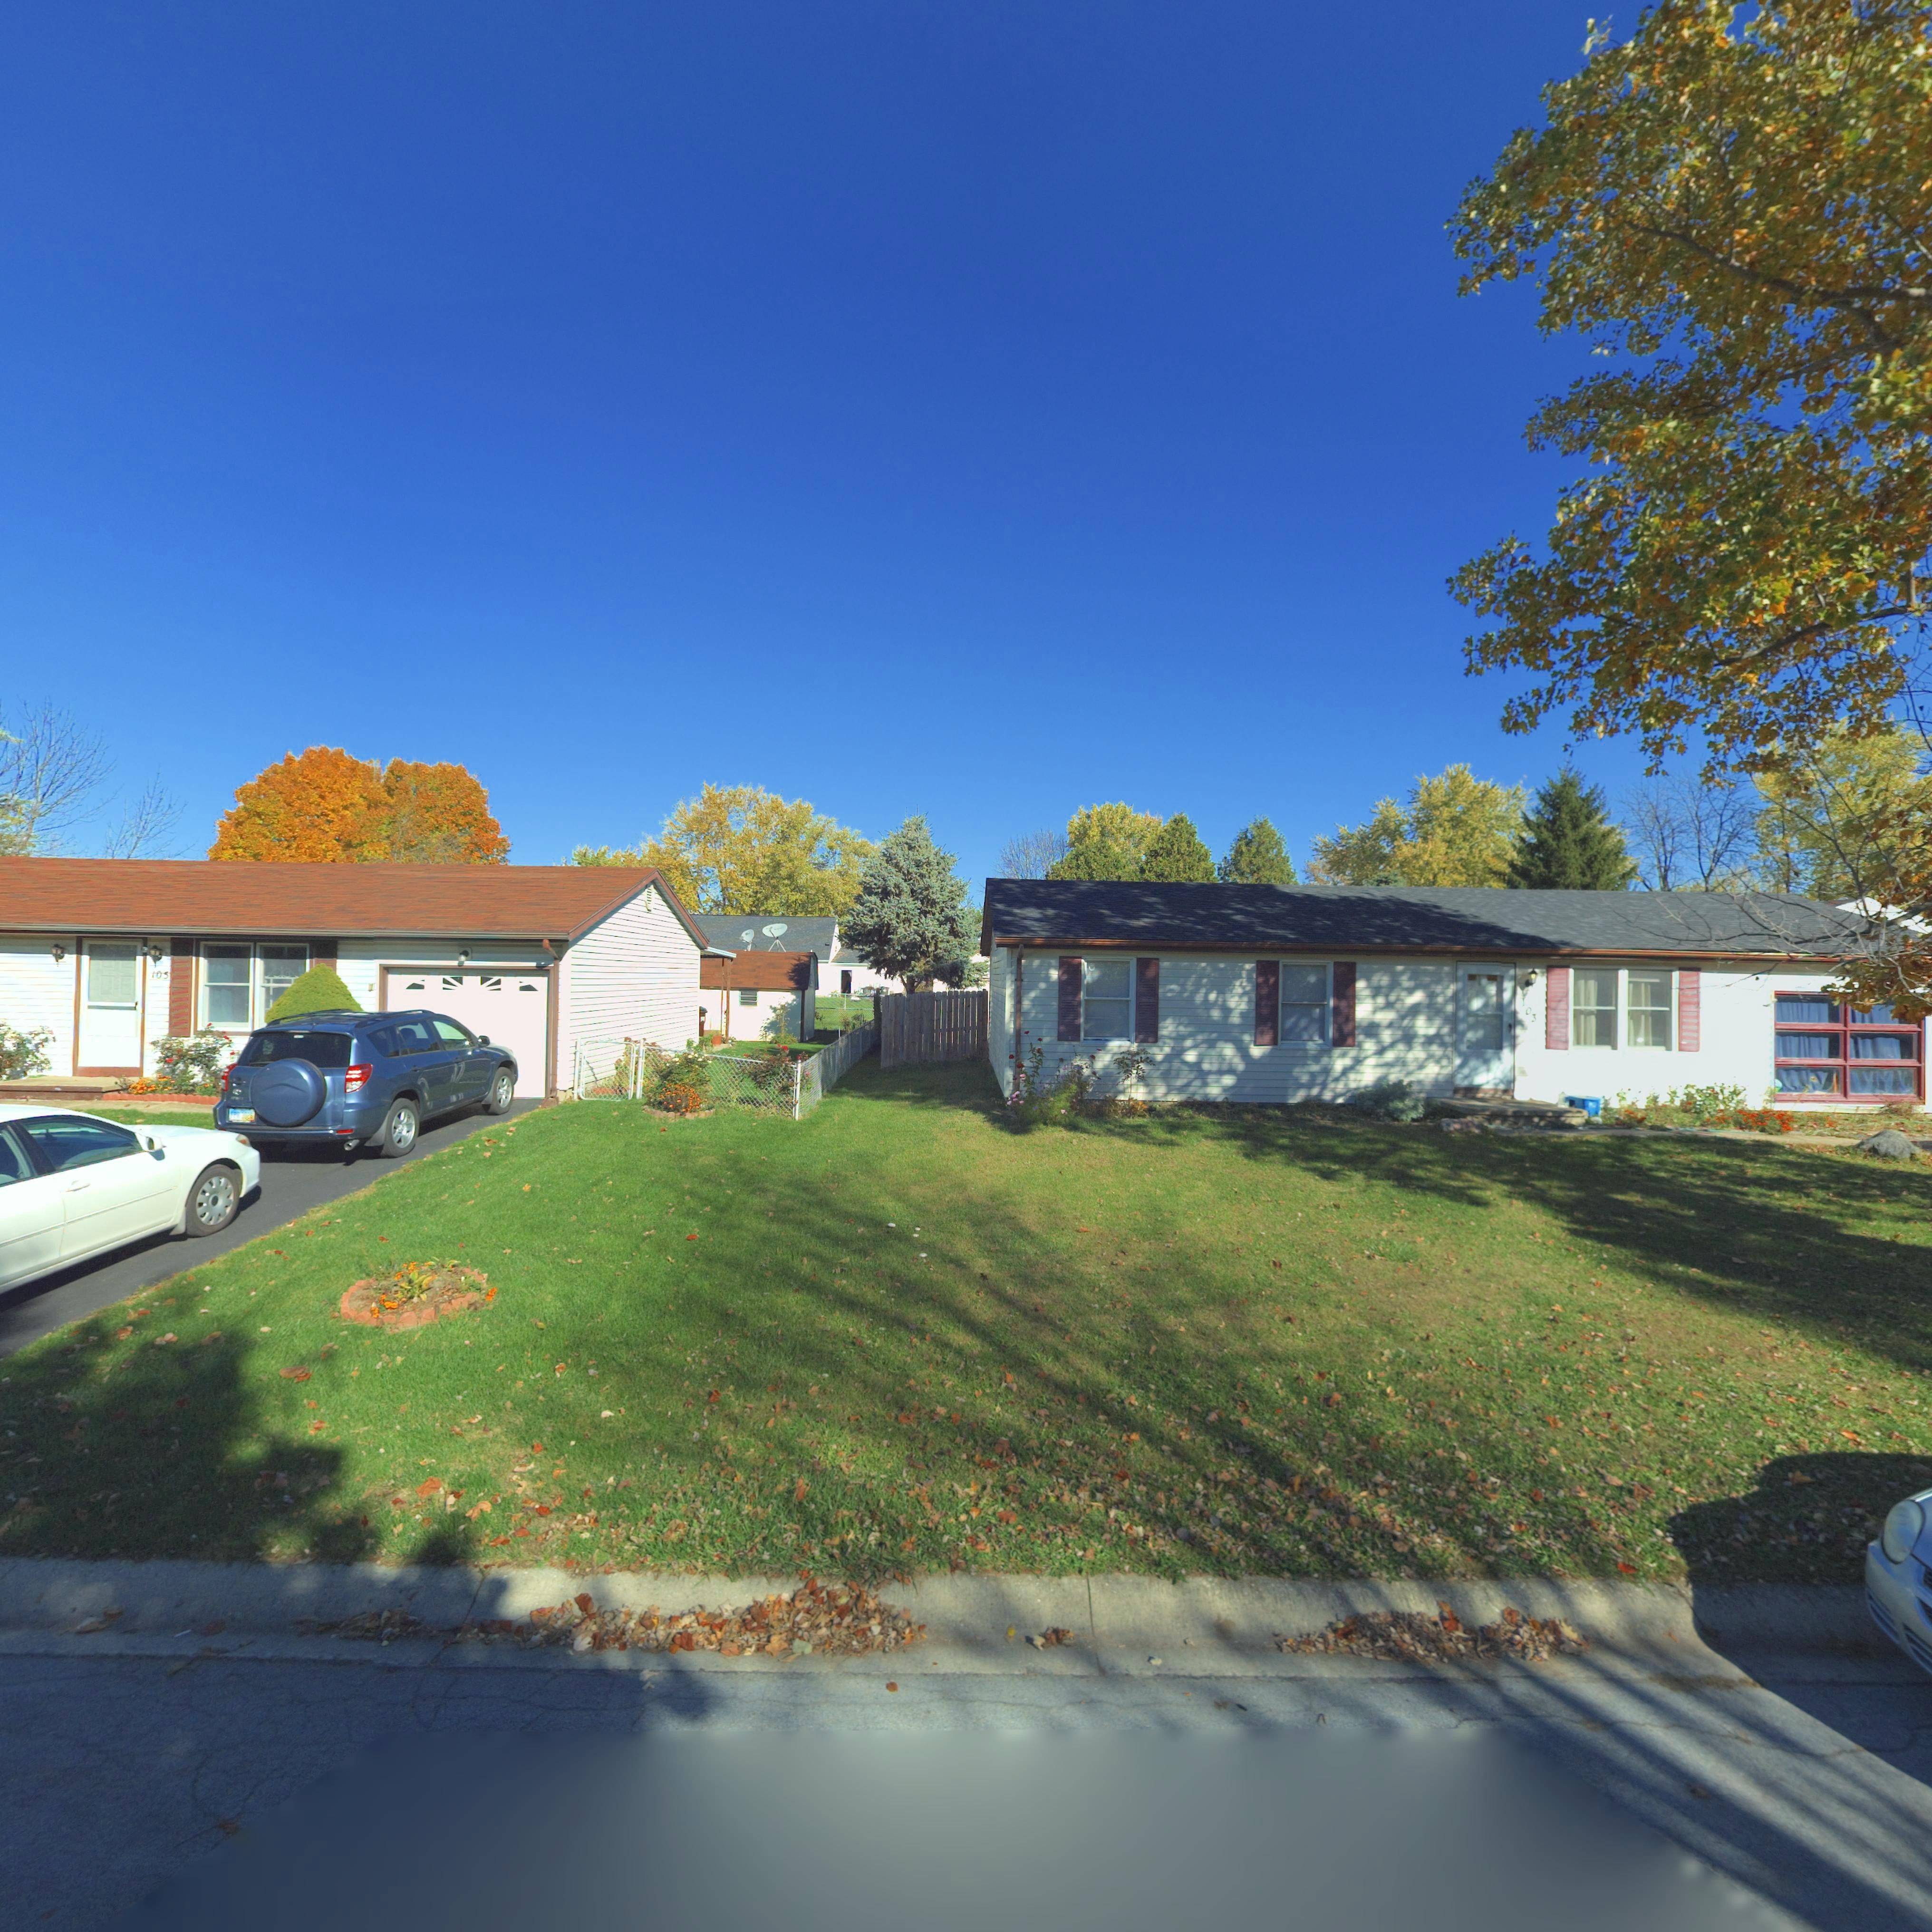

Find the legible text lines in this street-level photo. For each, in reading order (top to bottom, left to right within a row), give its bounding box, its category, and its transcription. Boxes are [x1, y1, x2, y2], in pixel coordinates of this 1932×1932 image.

[151, 969, 169, 980] StreetNumber: 105
[1521, 996, 1537, 1024] StreetNumber: 103